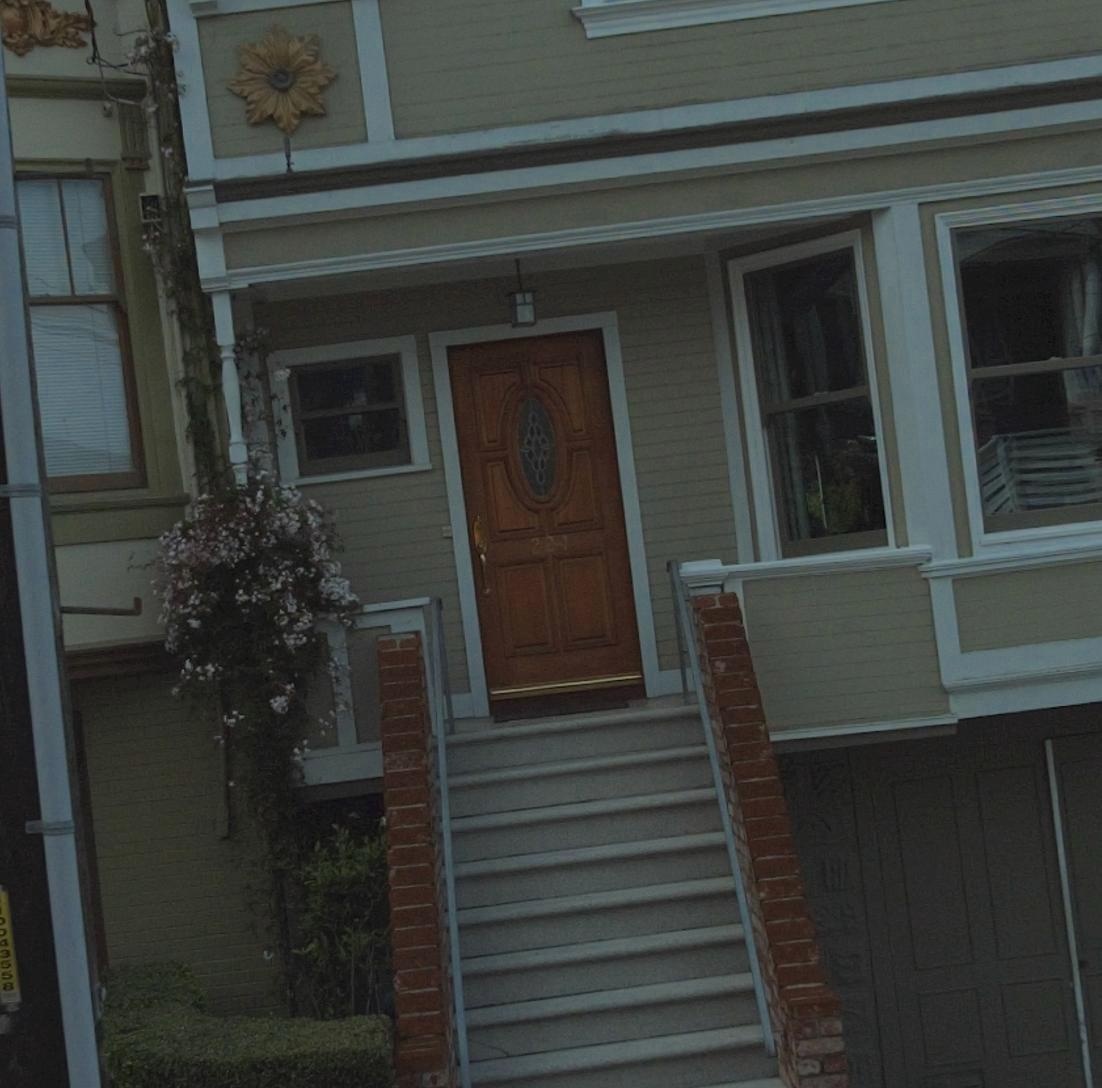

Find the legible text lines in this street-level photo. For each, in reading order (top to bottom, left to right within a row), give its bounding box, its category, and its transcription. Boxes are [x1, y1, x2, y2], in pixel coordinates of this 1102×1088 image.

[529, 535, 572, 557] StreetNumber: 224